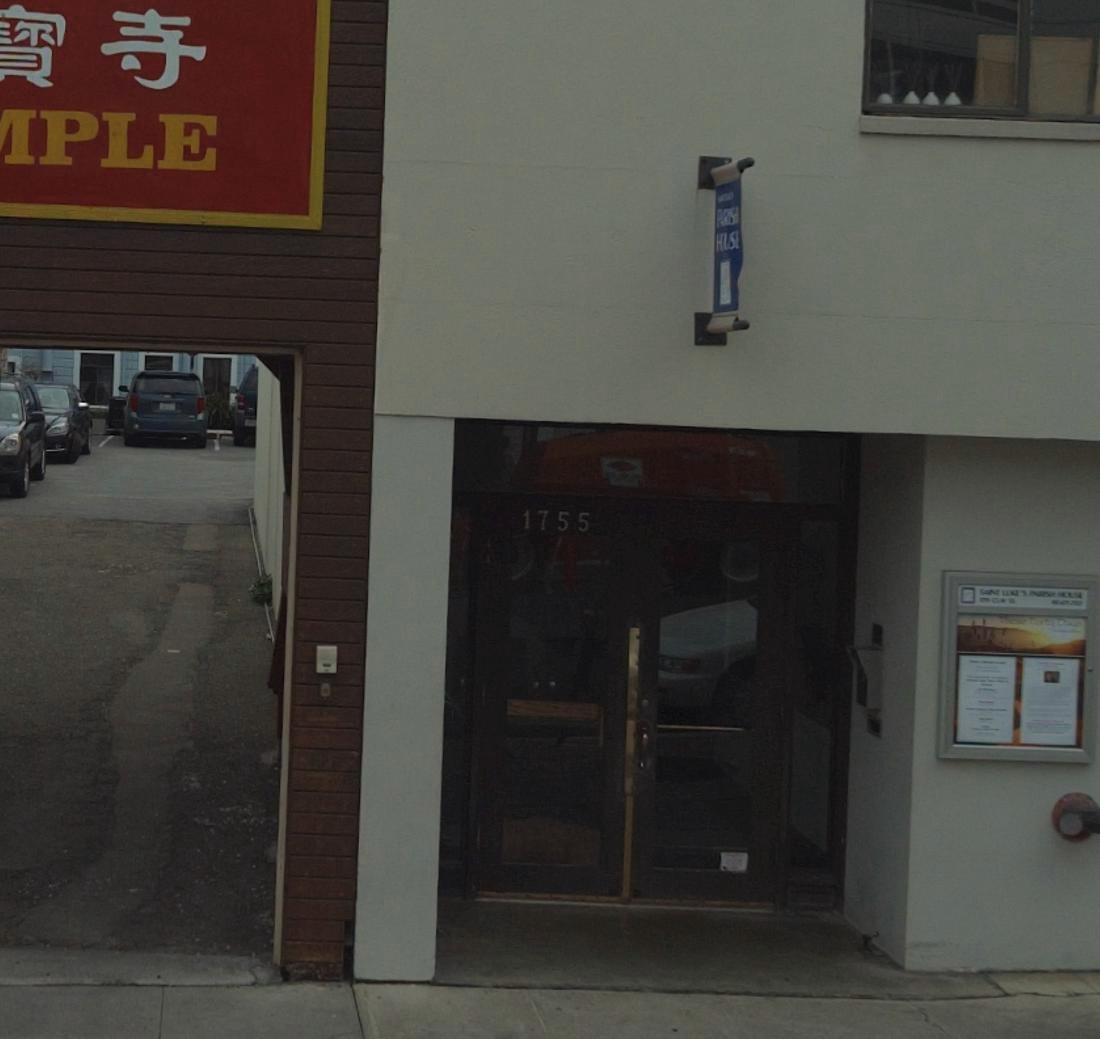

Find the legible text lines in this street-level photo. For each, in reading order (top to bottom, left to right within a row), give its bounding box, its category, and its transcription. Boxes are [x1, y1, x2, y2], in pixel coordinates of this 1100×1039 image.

[35, 103, 225, 179] BusinessName: PLE
[727, 229, 738, 252] None: S
[518, 506, 593, 535] StreetNumber: 1755